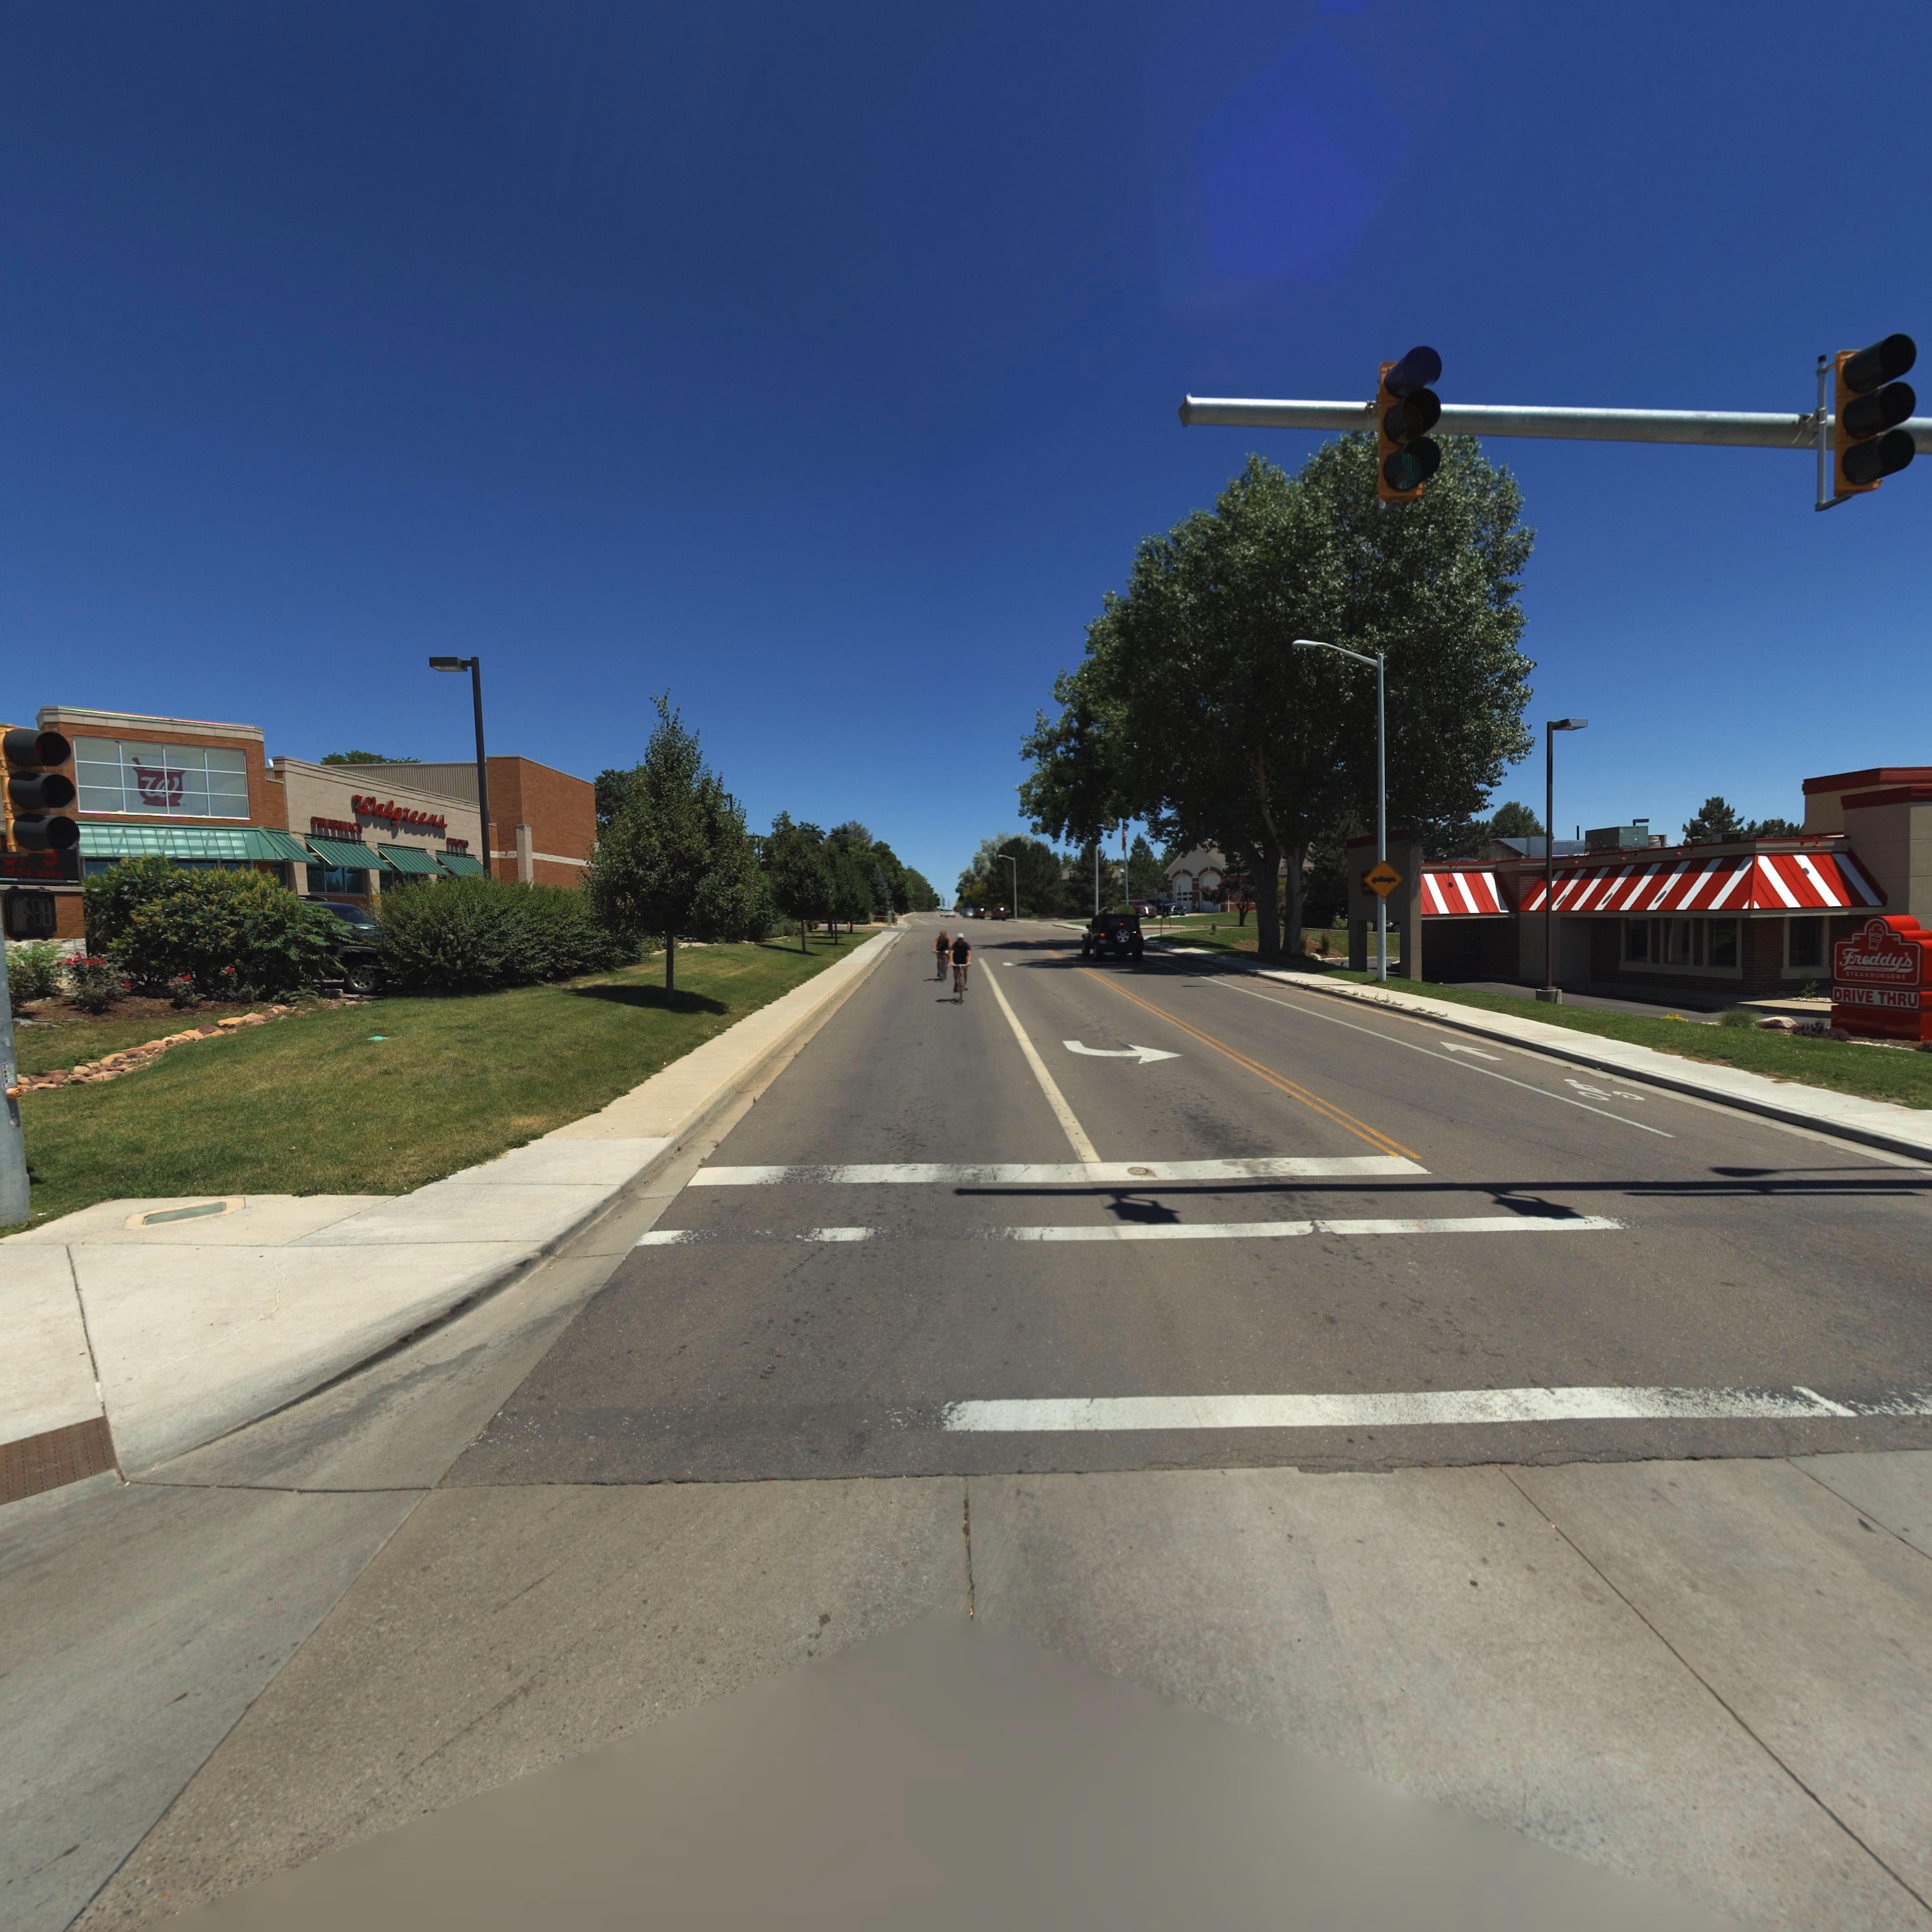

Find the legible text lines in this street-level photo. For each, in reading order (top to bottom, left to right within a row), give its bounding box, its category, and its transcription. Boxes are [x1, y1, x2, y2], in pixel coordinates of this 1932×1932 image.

[353, 793, 448, 829] BusinessName: Walgreens
[1838, 947, 1913, 972] BusinessName: Freddy's
[1845, 970, 1906, 980] BusinessName: STEAKBURGERS